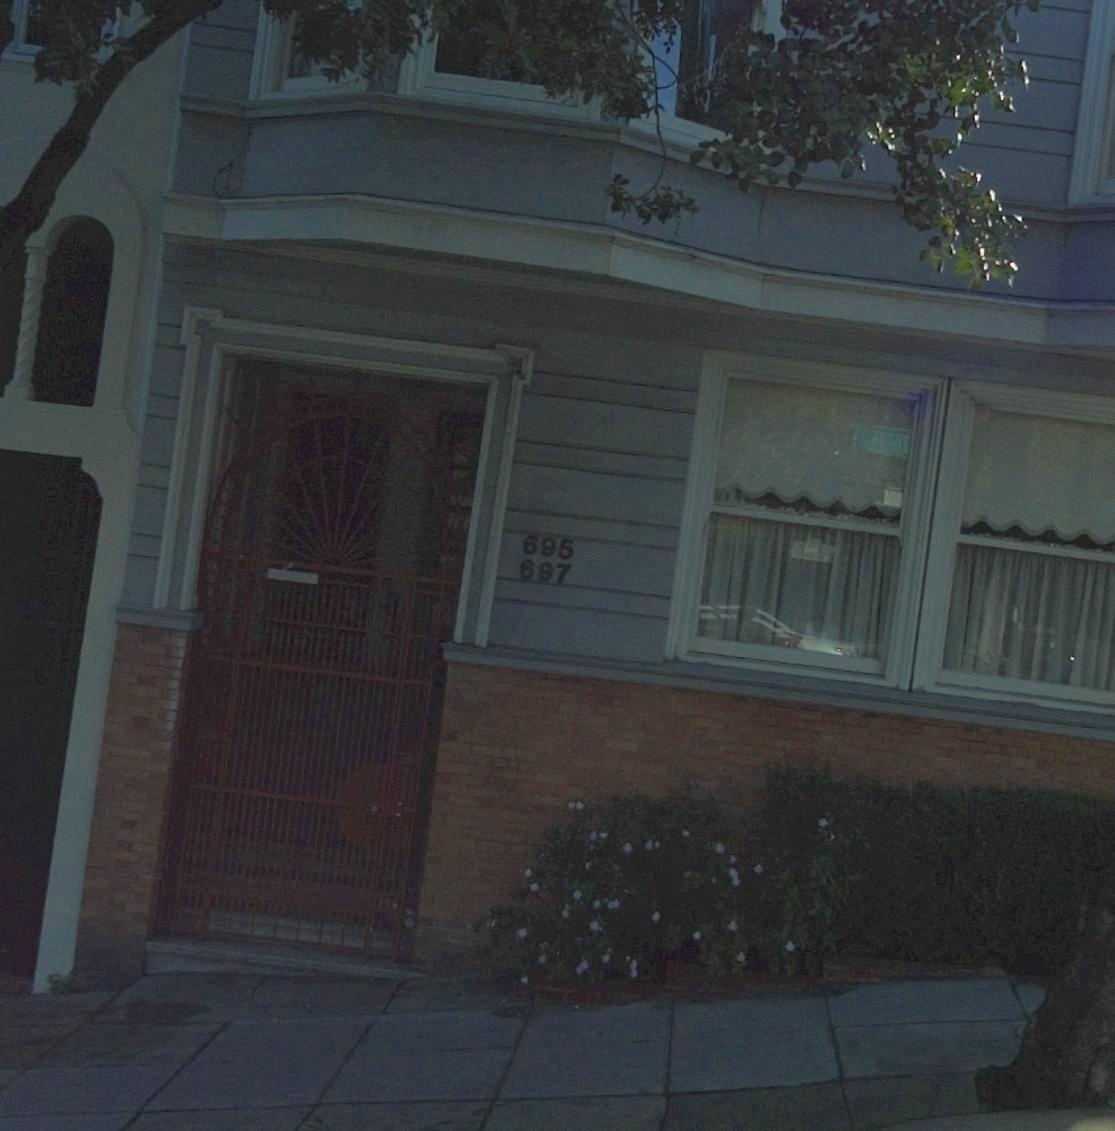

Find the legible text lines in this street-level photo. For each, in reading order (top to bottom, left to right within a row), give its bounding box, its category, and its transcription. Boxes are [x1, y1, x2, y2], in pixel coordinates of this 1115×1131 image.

[522, 532, 578, 561] StreetNumber: 695
[519, 558, 573, 583] StreetNumber: 697